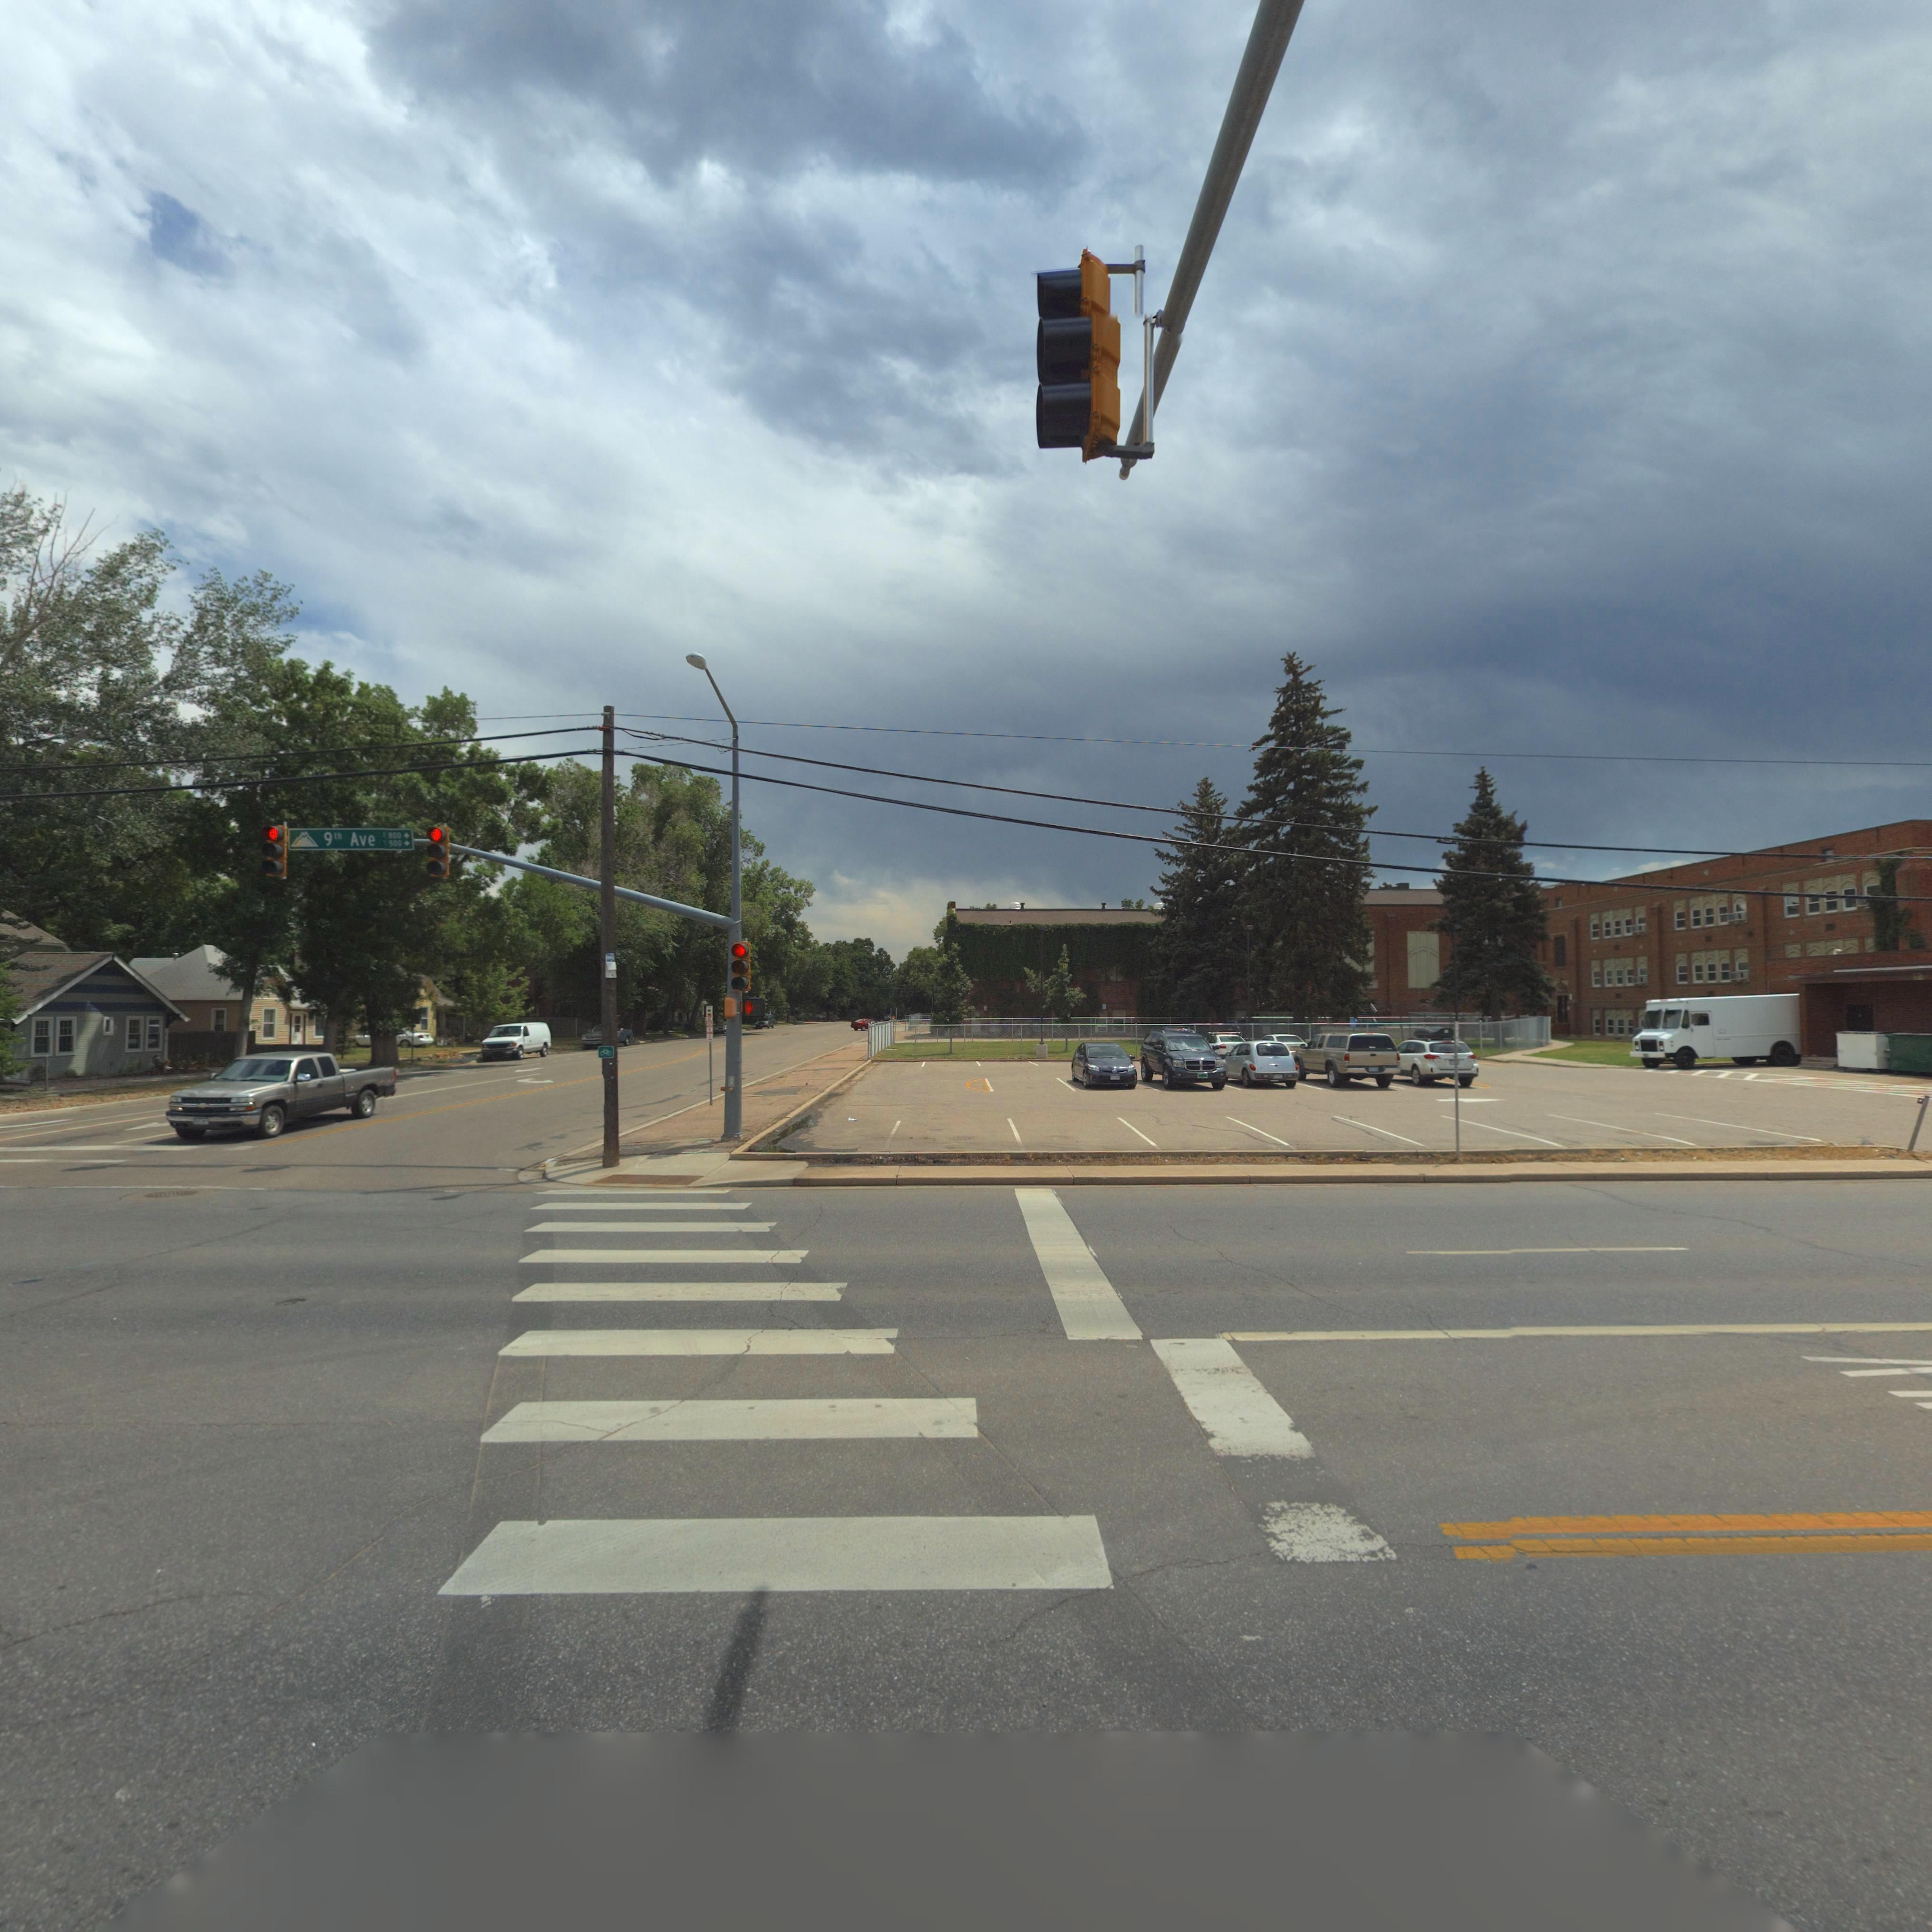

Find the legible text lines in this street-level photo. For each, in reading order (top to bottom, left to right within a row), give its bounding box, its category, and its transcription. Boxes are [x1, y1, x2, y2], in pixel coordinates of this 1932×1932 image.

[388, 832, 401, 839] StreetNumberRange: 800
[323, 831, 375, 847] StreetName: 9th Ave
[389, 840, 410, 847] StreetNumberRange: 500 ->